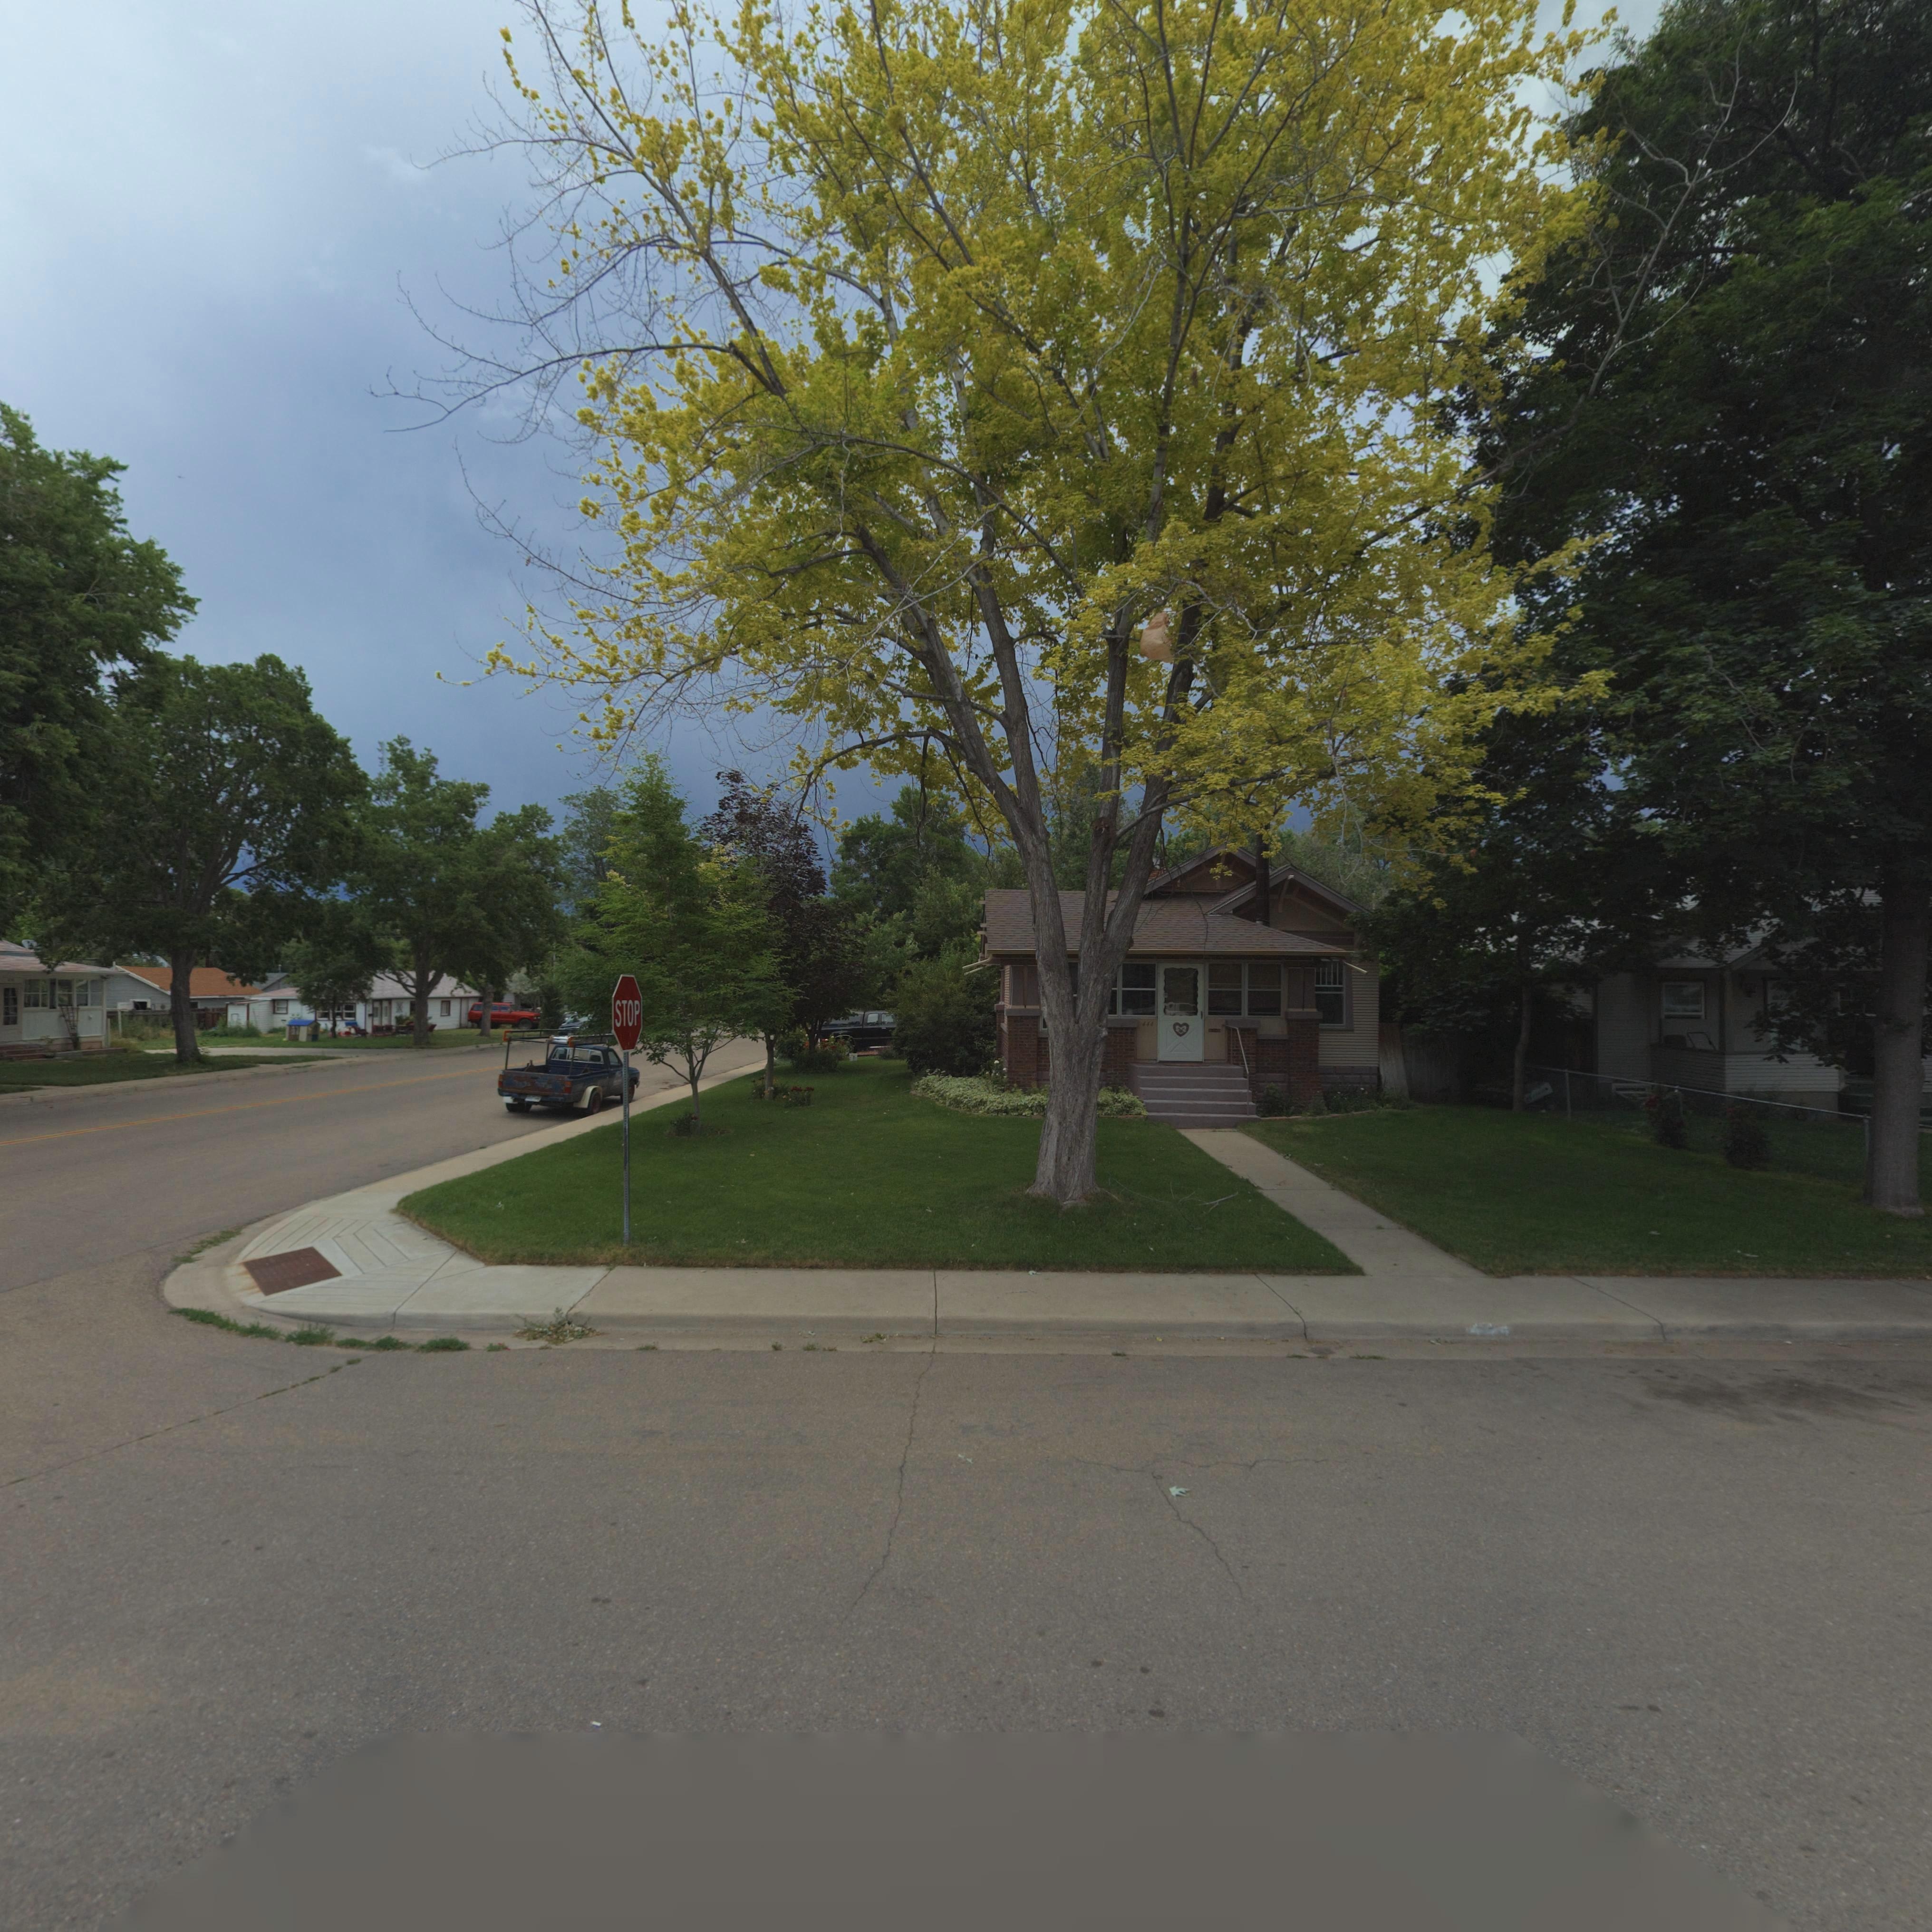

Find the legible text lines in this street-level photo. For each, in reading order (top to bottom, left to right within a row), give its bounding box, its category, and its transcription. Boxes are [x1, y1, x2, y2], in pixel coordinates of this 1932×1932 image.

[1141, 1021, 1153, 1027] StreetNumber: 444
[1469, 1322, 1510, 1336] StreetNumber: 444